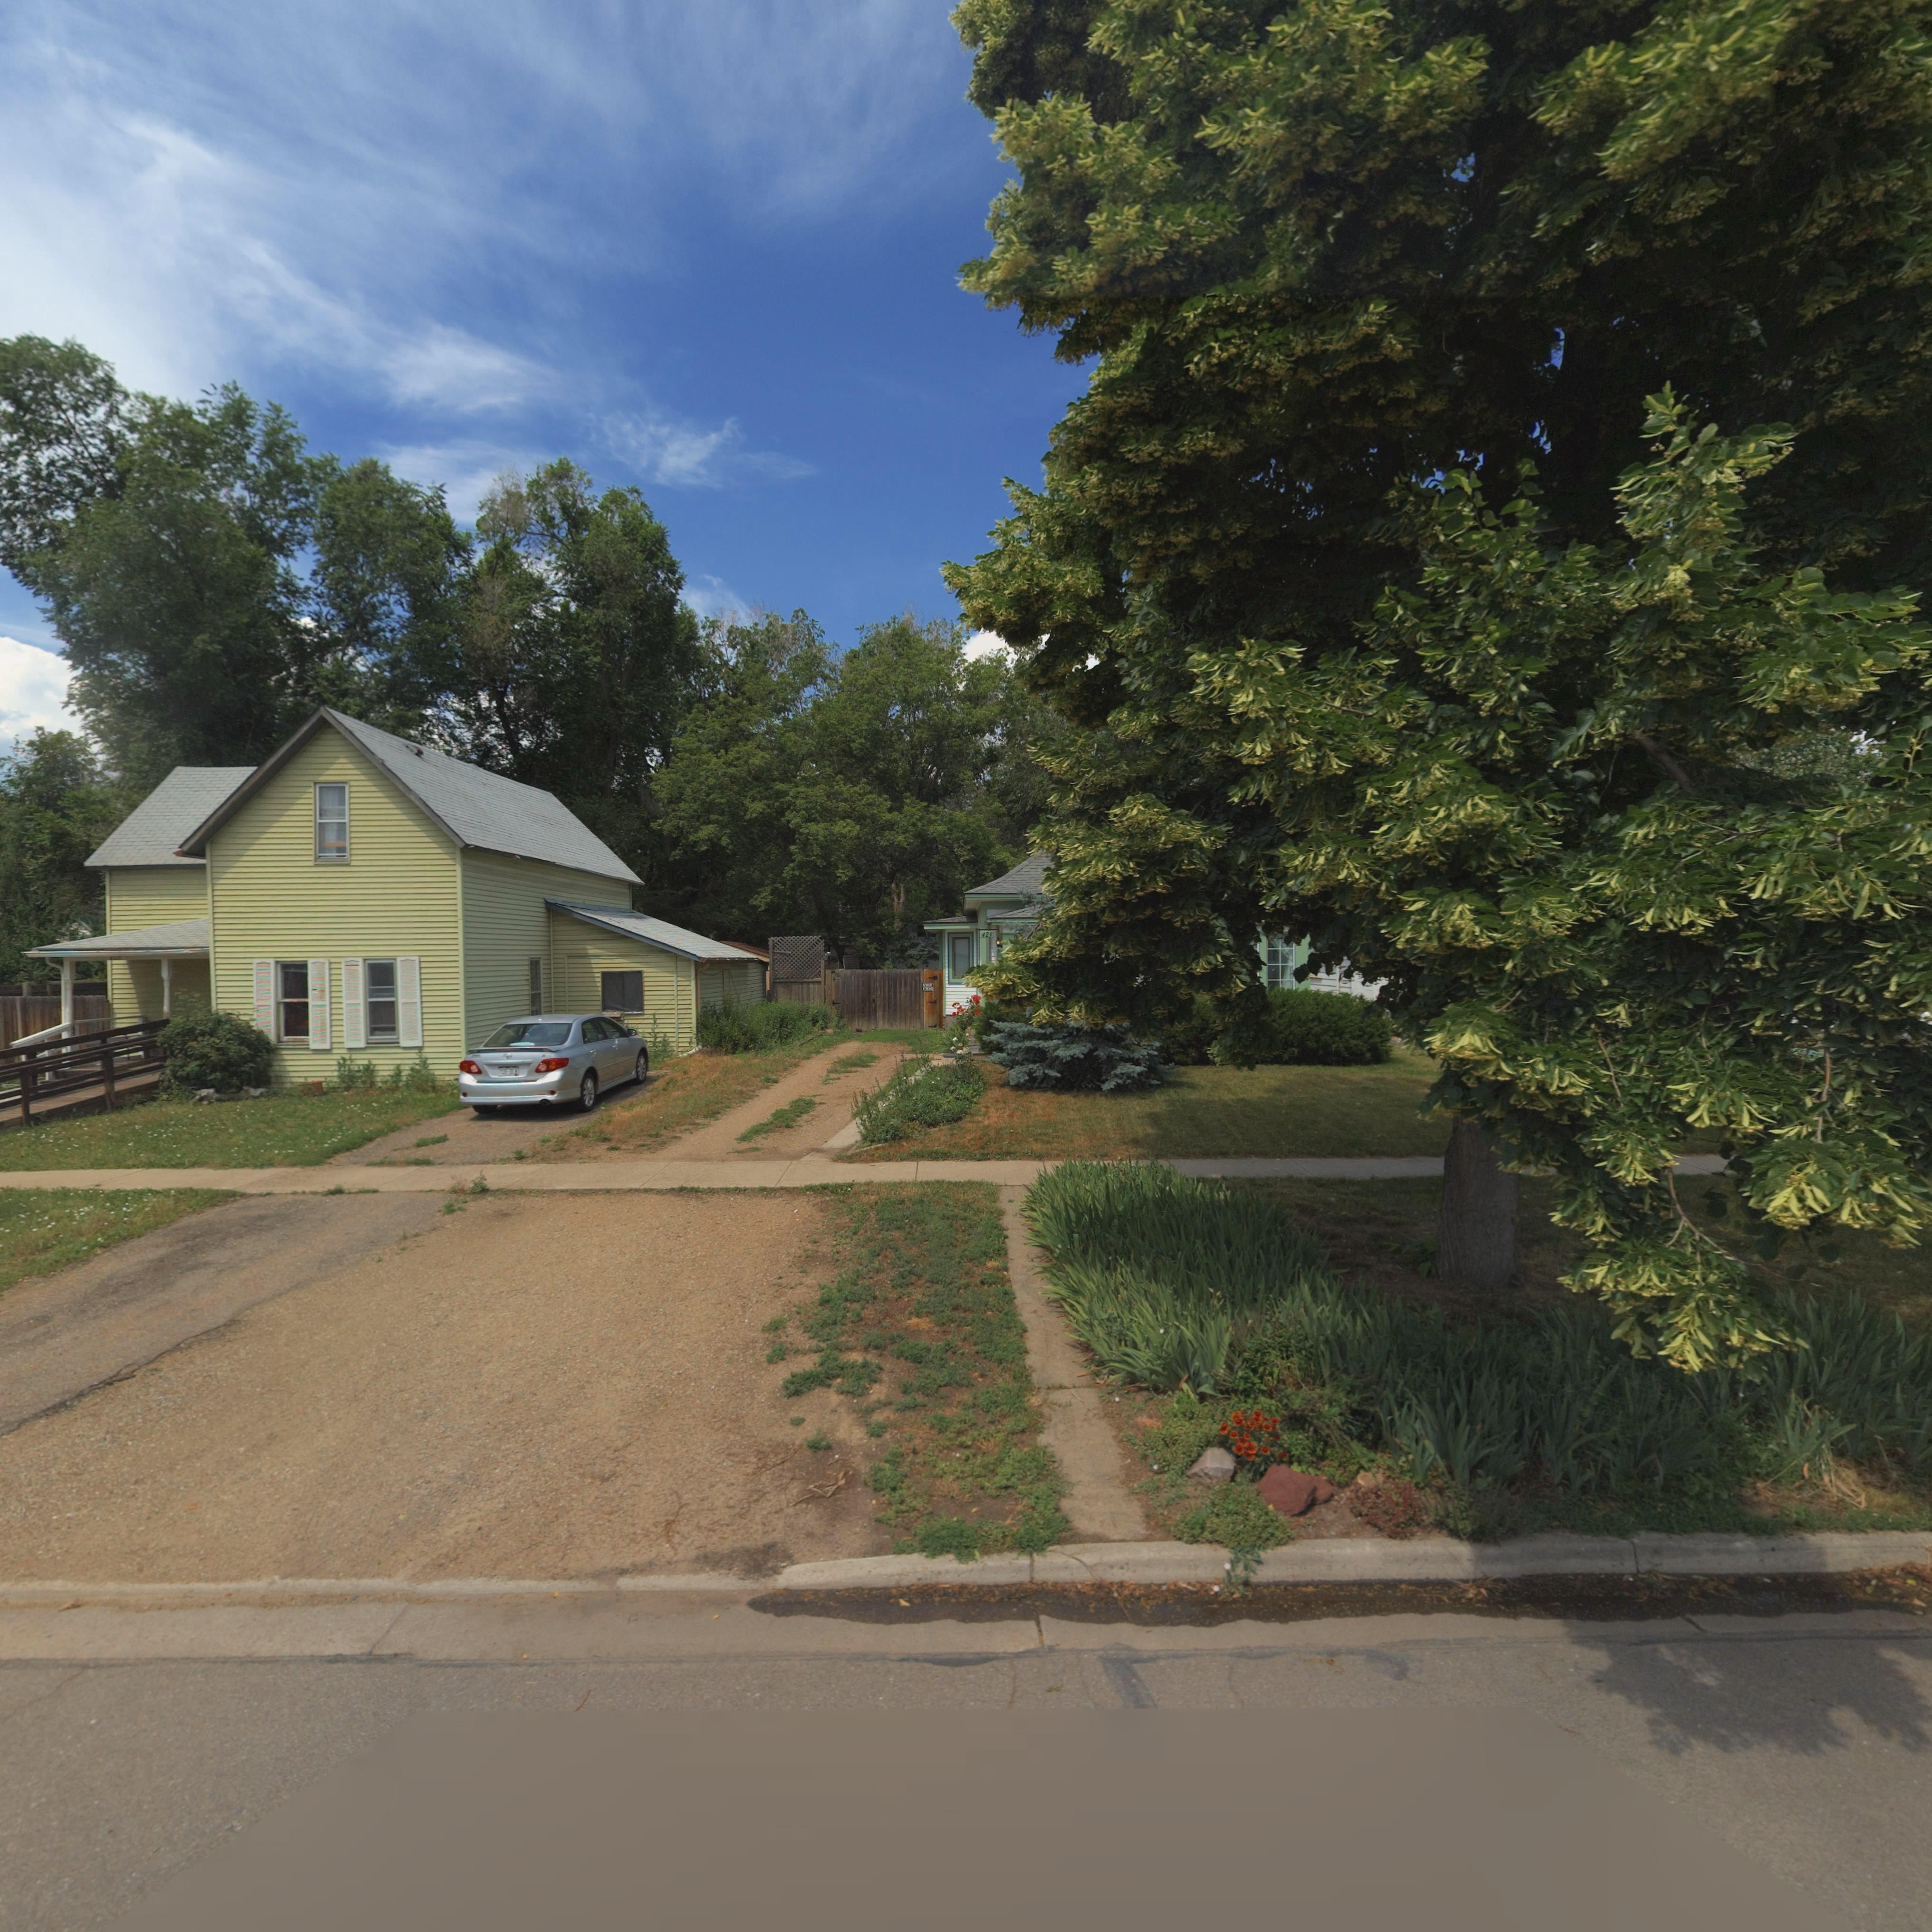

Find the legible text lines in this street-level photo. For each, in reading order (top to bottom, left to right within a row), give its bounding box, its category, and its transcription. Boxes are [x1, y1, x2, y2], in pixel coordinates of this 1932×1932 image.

[982, 931, 993, 937] StreetNumber: 429